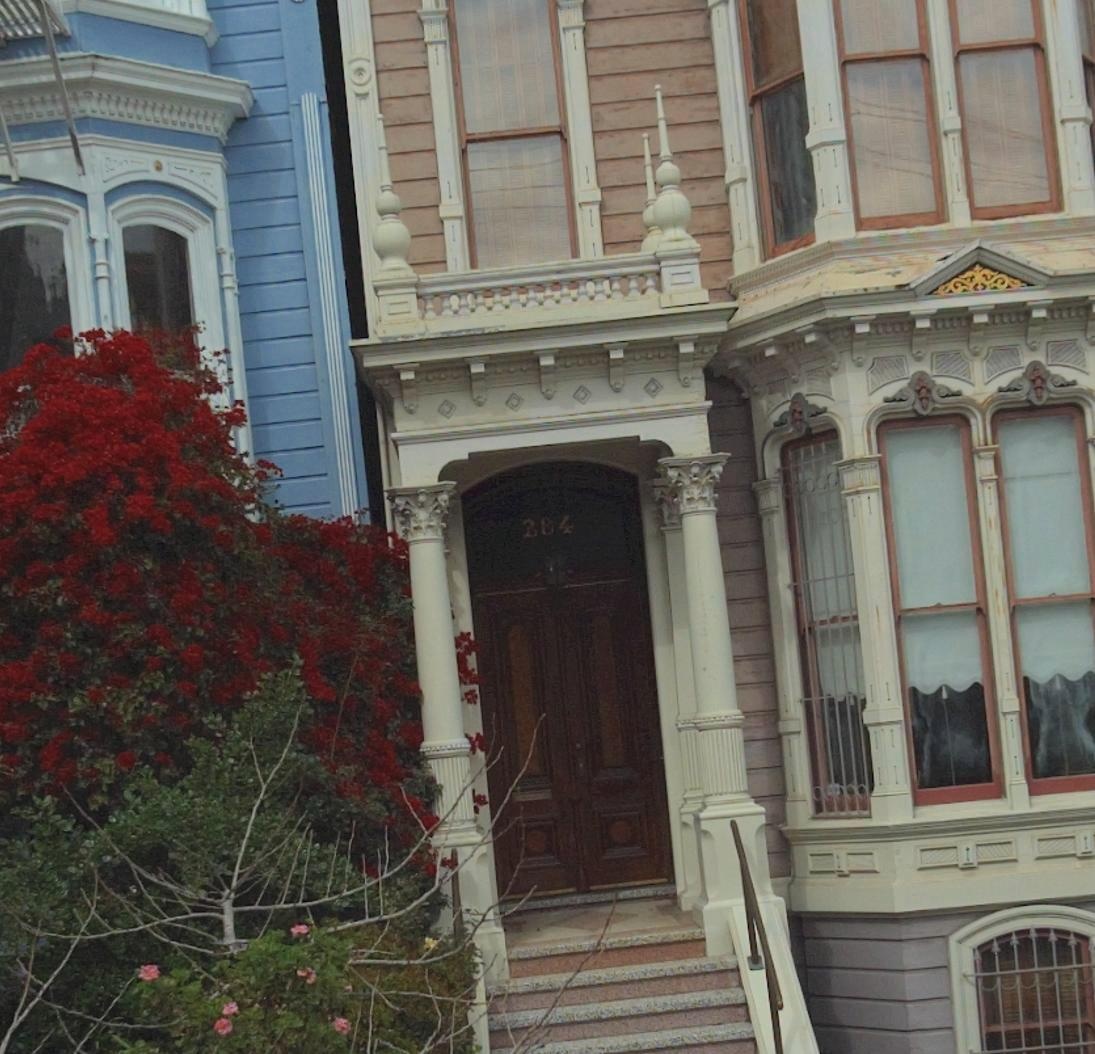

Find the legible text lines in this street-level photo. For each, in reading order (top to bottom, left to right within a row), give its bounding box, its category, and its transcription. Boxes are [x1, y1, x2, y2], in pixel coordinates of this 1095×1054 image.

[519, 513, 575, 540] StreetNumber: 284